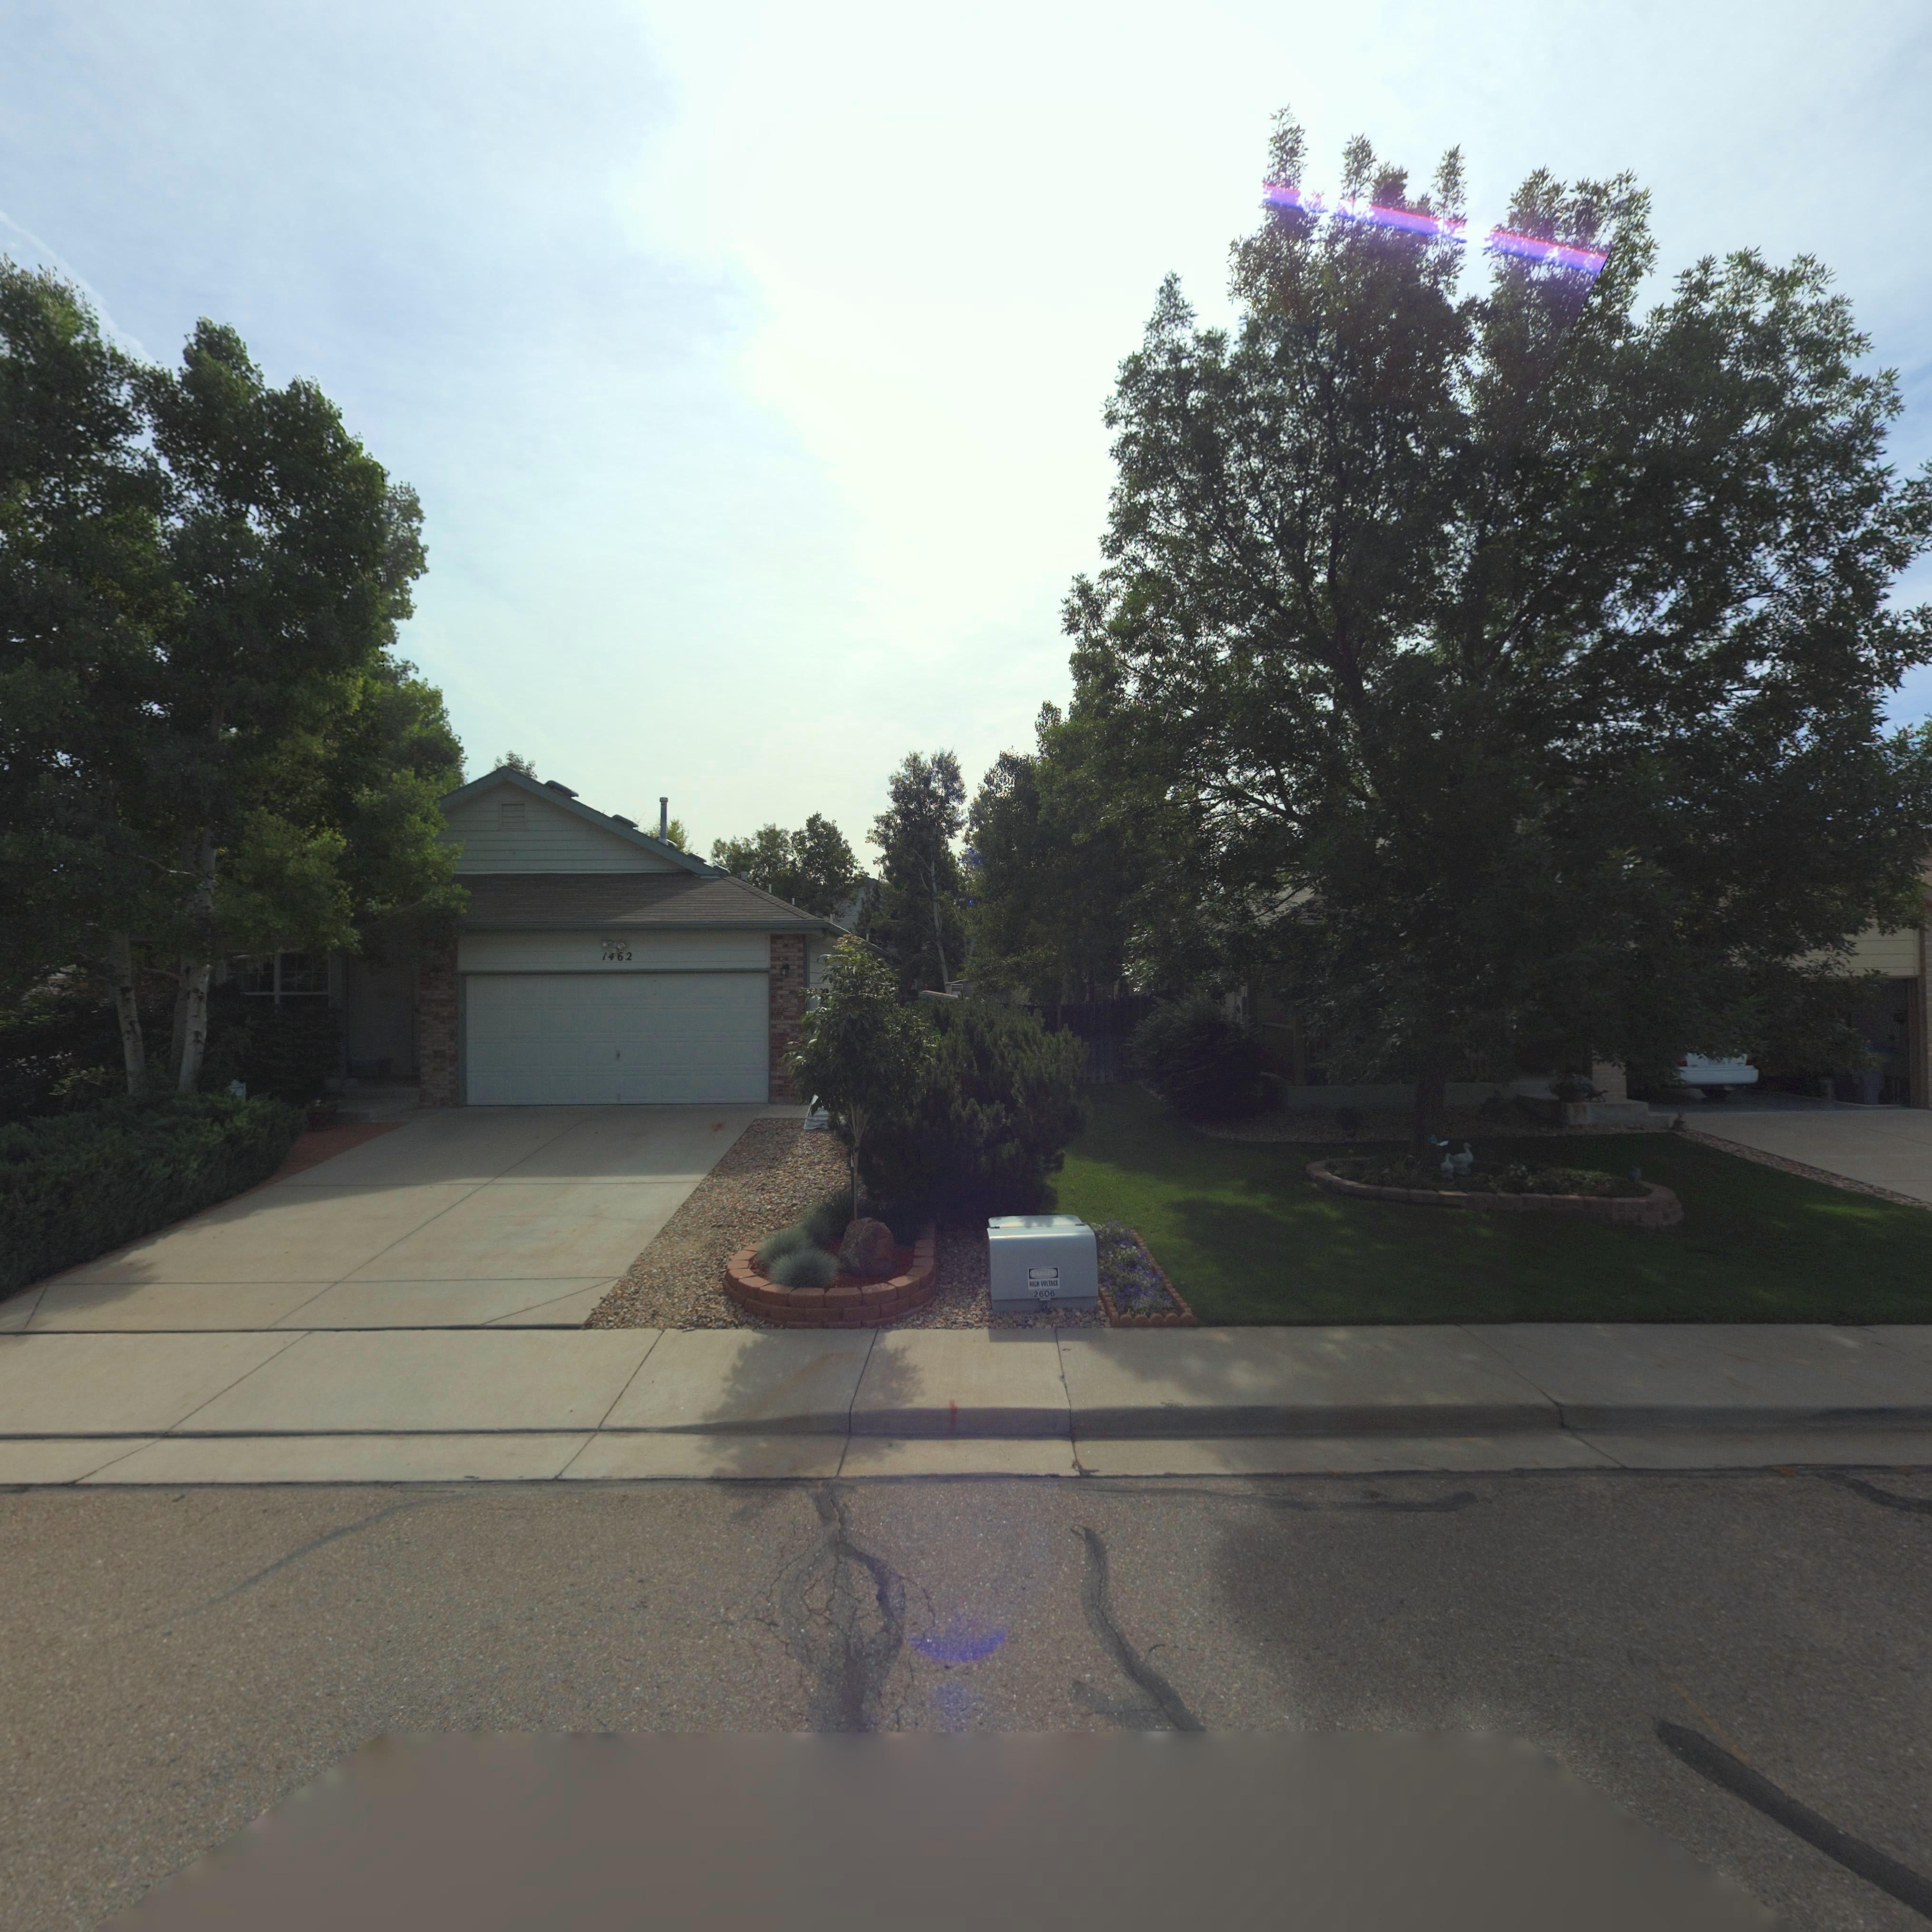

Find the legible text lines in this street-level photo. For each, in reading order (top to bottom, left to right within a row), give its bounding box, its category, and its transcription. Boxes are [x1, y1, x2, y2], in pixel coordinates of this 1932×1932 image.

[601, 951, 633, 960] StreetNumber: 1462